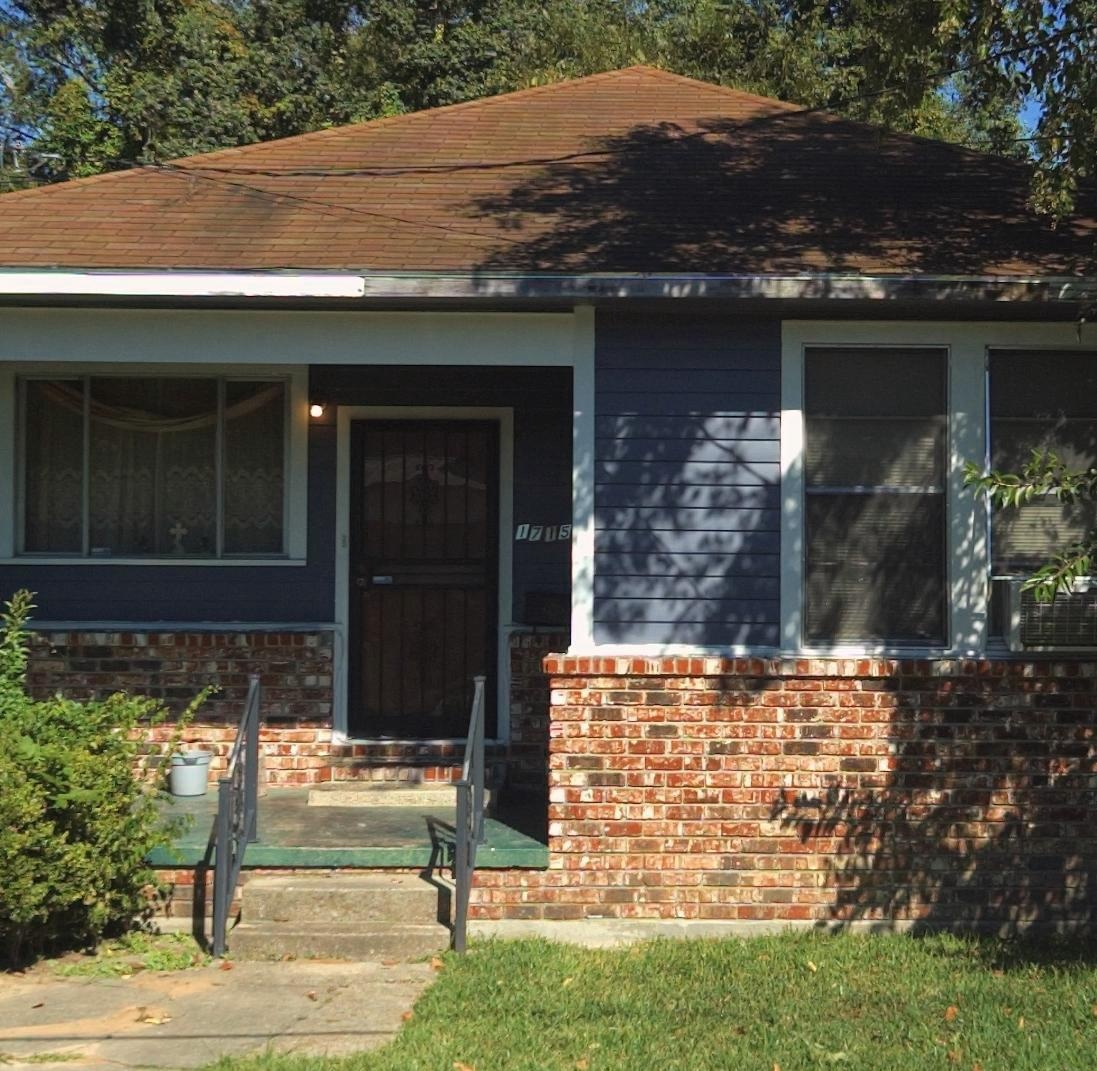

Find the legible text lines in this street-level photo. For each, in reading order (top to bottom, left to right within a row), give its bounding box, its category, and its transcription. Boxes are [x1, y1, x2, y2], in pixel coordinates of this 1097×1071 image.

[516, 524, 571, 541] StreetNumber: 1715